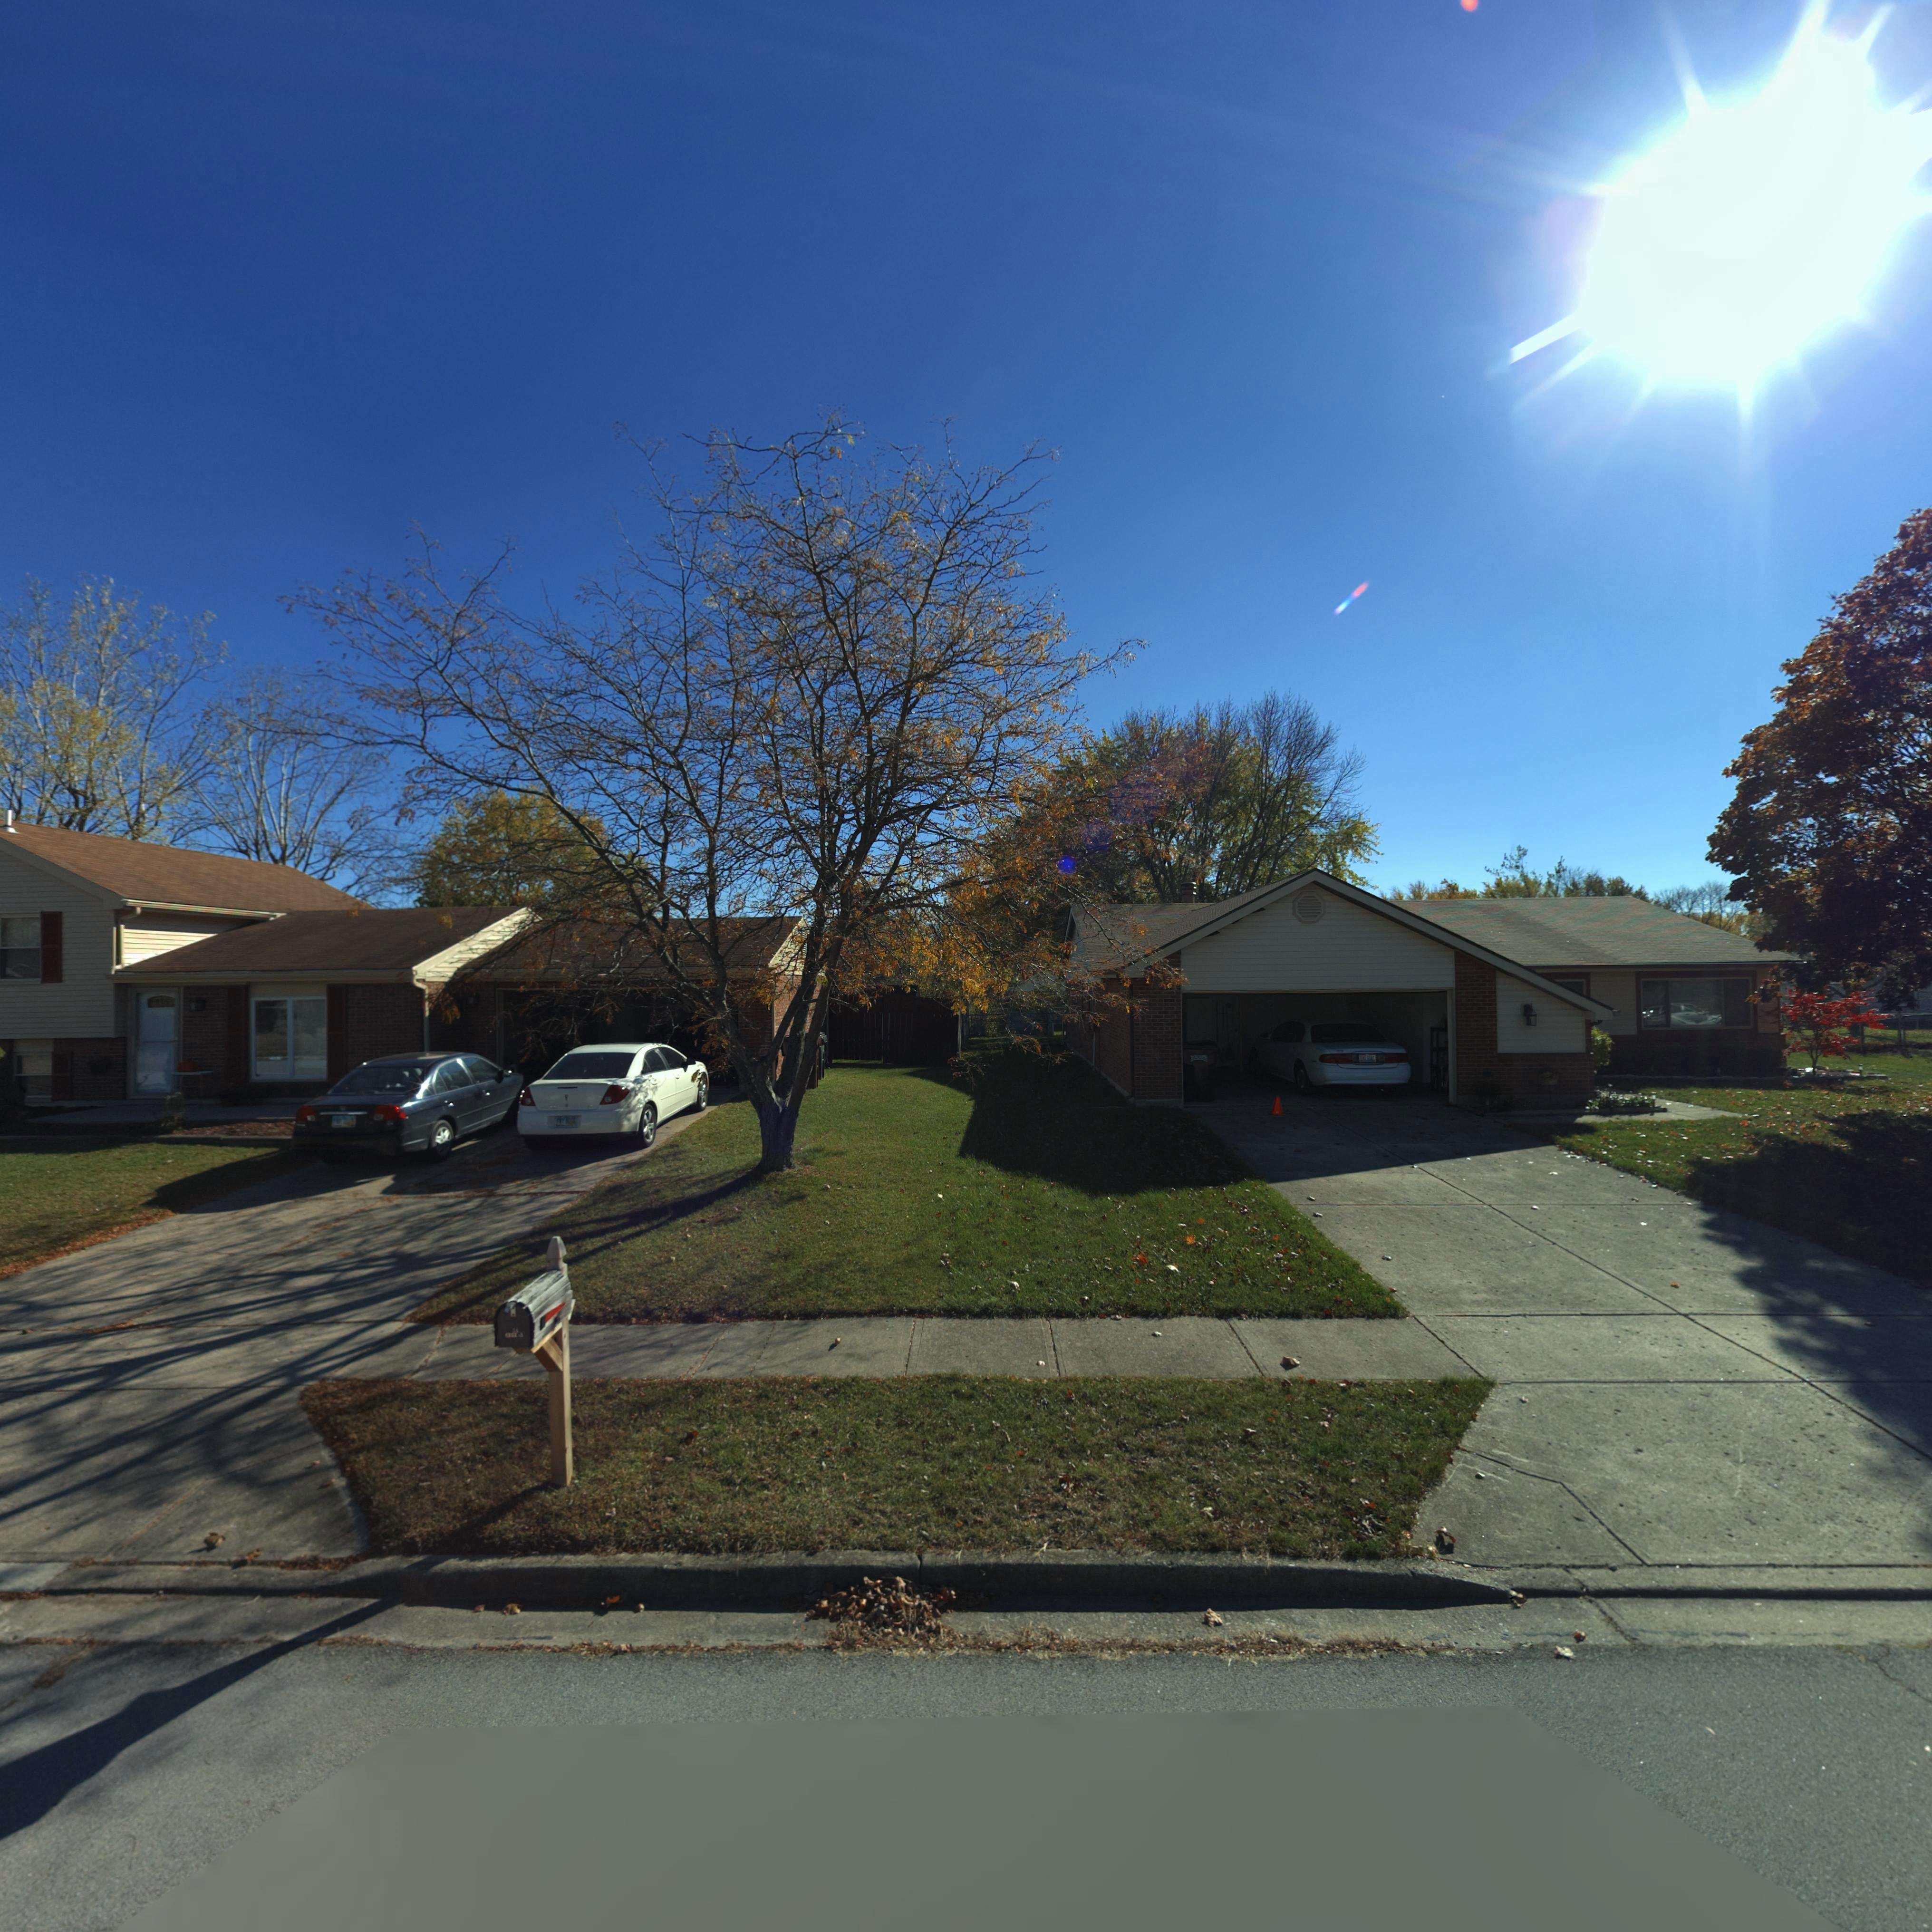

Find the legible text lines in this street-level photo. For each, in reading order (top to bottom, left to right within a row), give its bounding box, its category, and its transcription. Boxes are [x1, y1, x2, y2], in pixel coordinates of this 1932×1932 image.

[512, 1327, 519, 1333] StreetNumber: 14